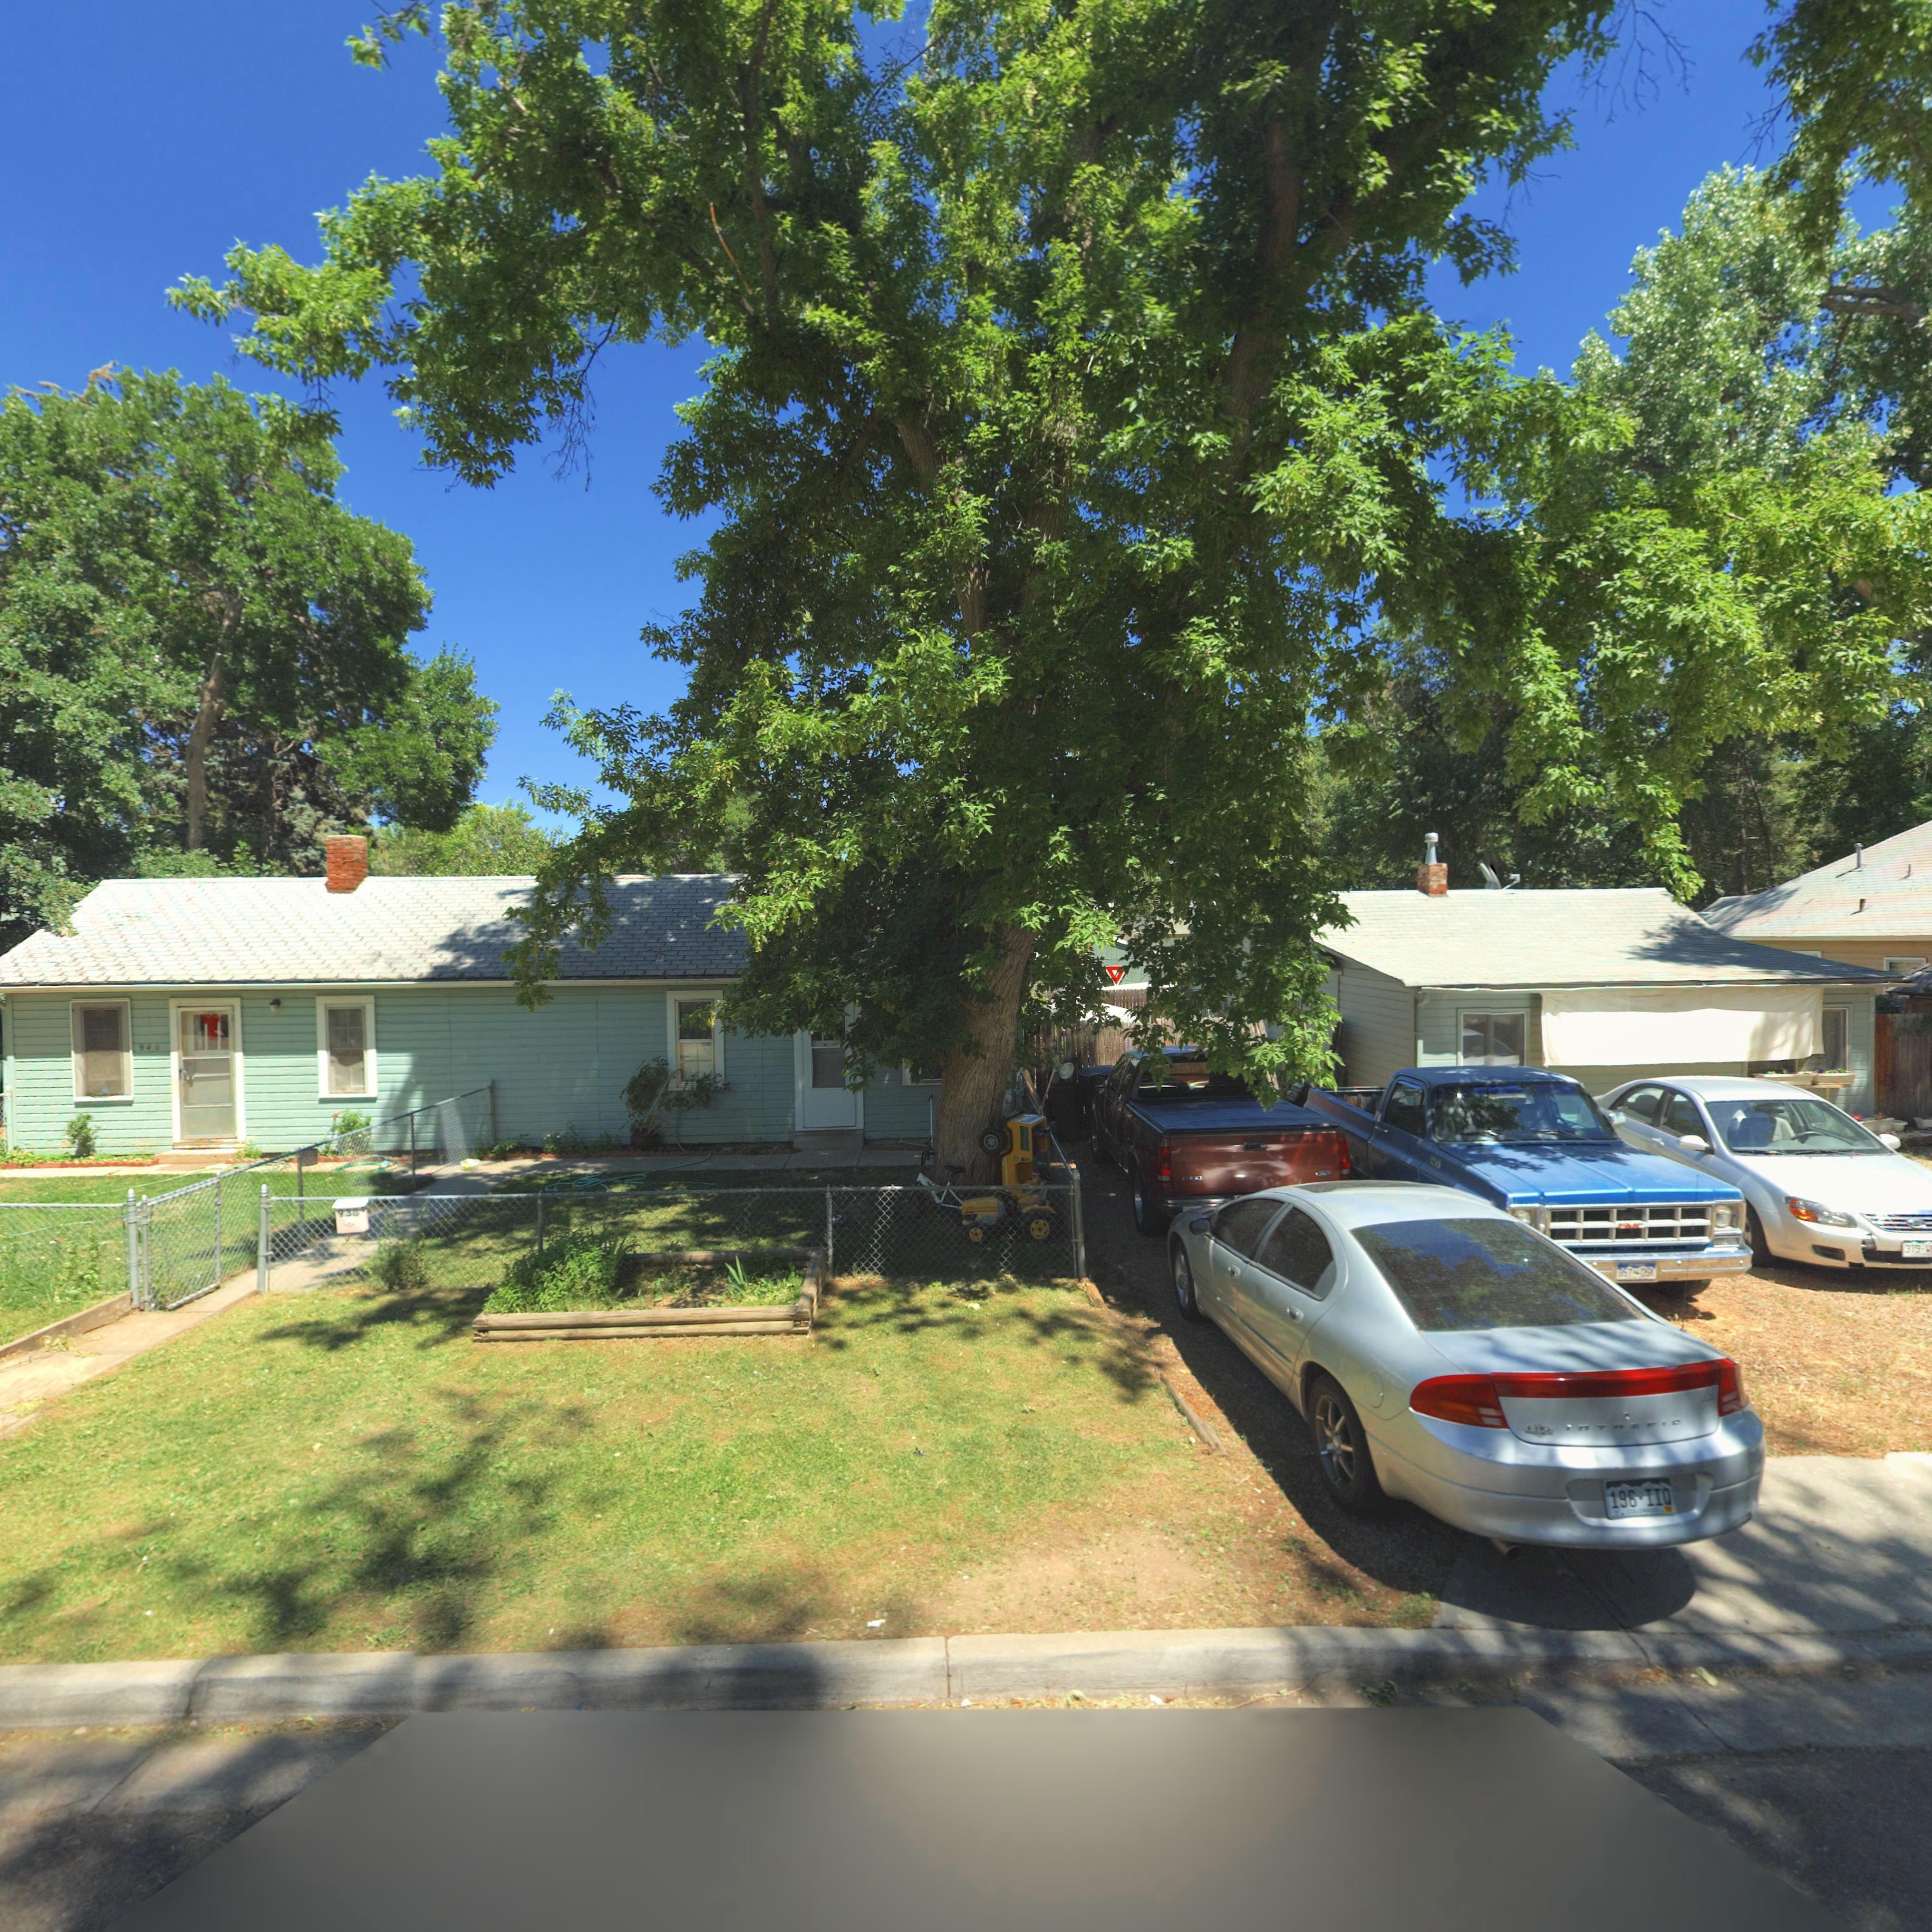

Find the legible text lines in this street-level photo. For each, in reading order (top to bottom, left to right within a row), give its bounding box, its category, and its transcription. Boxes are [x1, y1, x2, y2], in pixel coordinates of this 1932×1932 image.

[138, 1043, 159, 1052] StreetNumber: 940
[337, 1207, 359, 1218] StreetNumber: 938